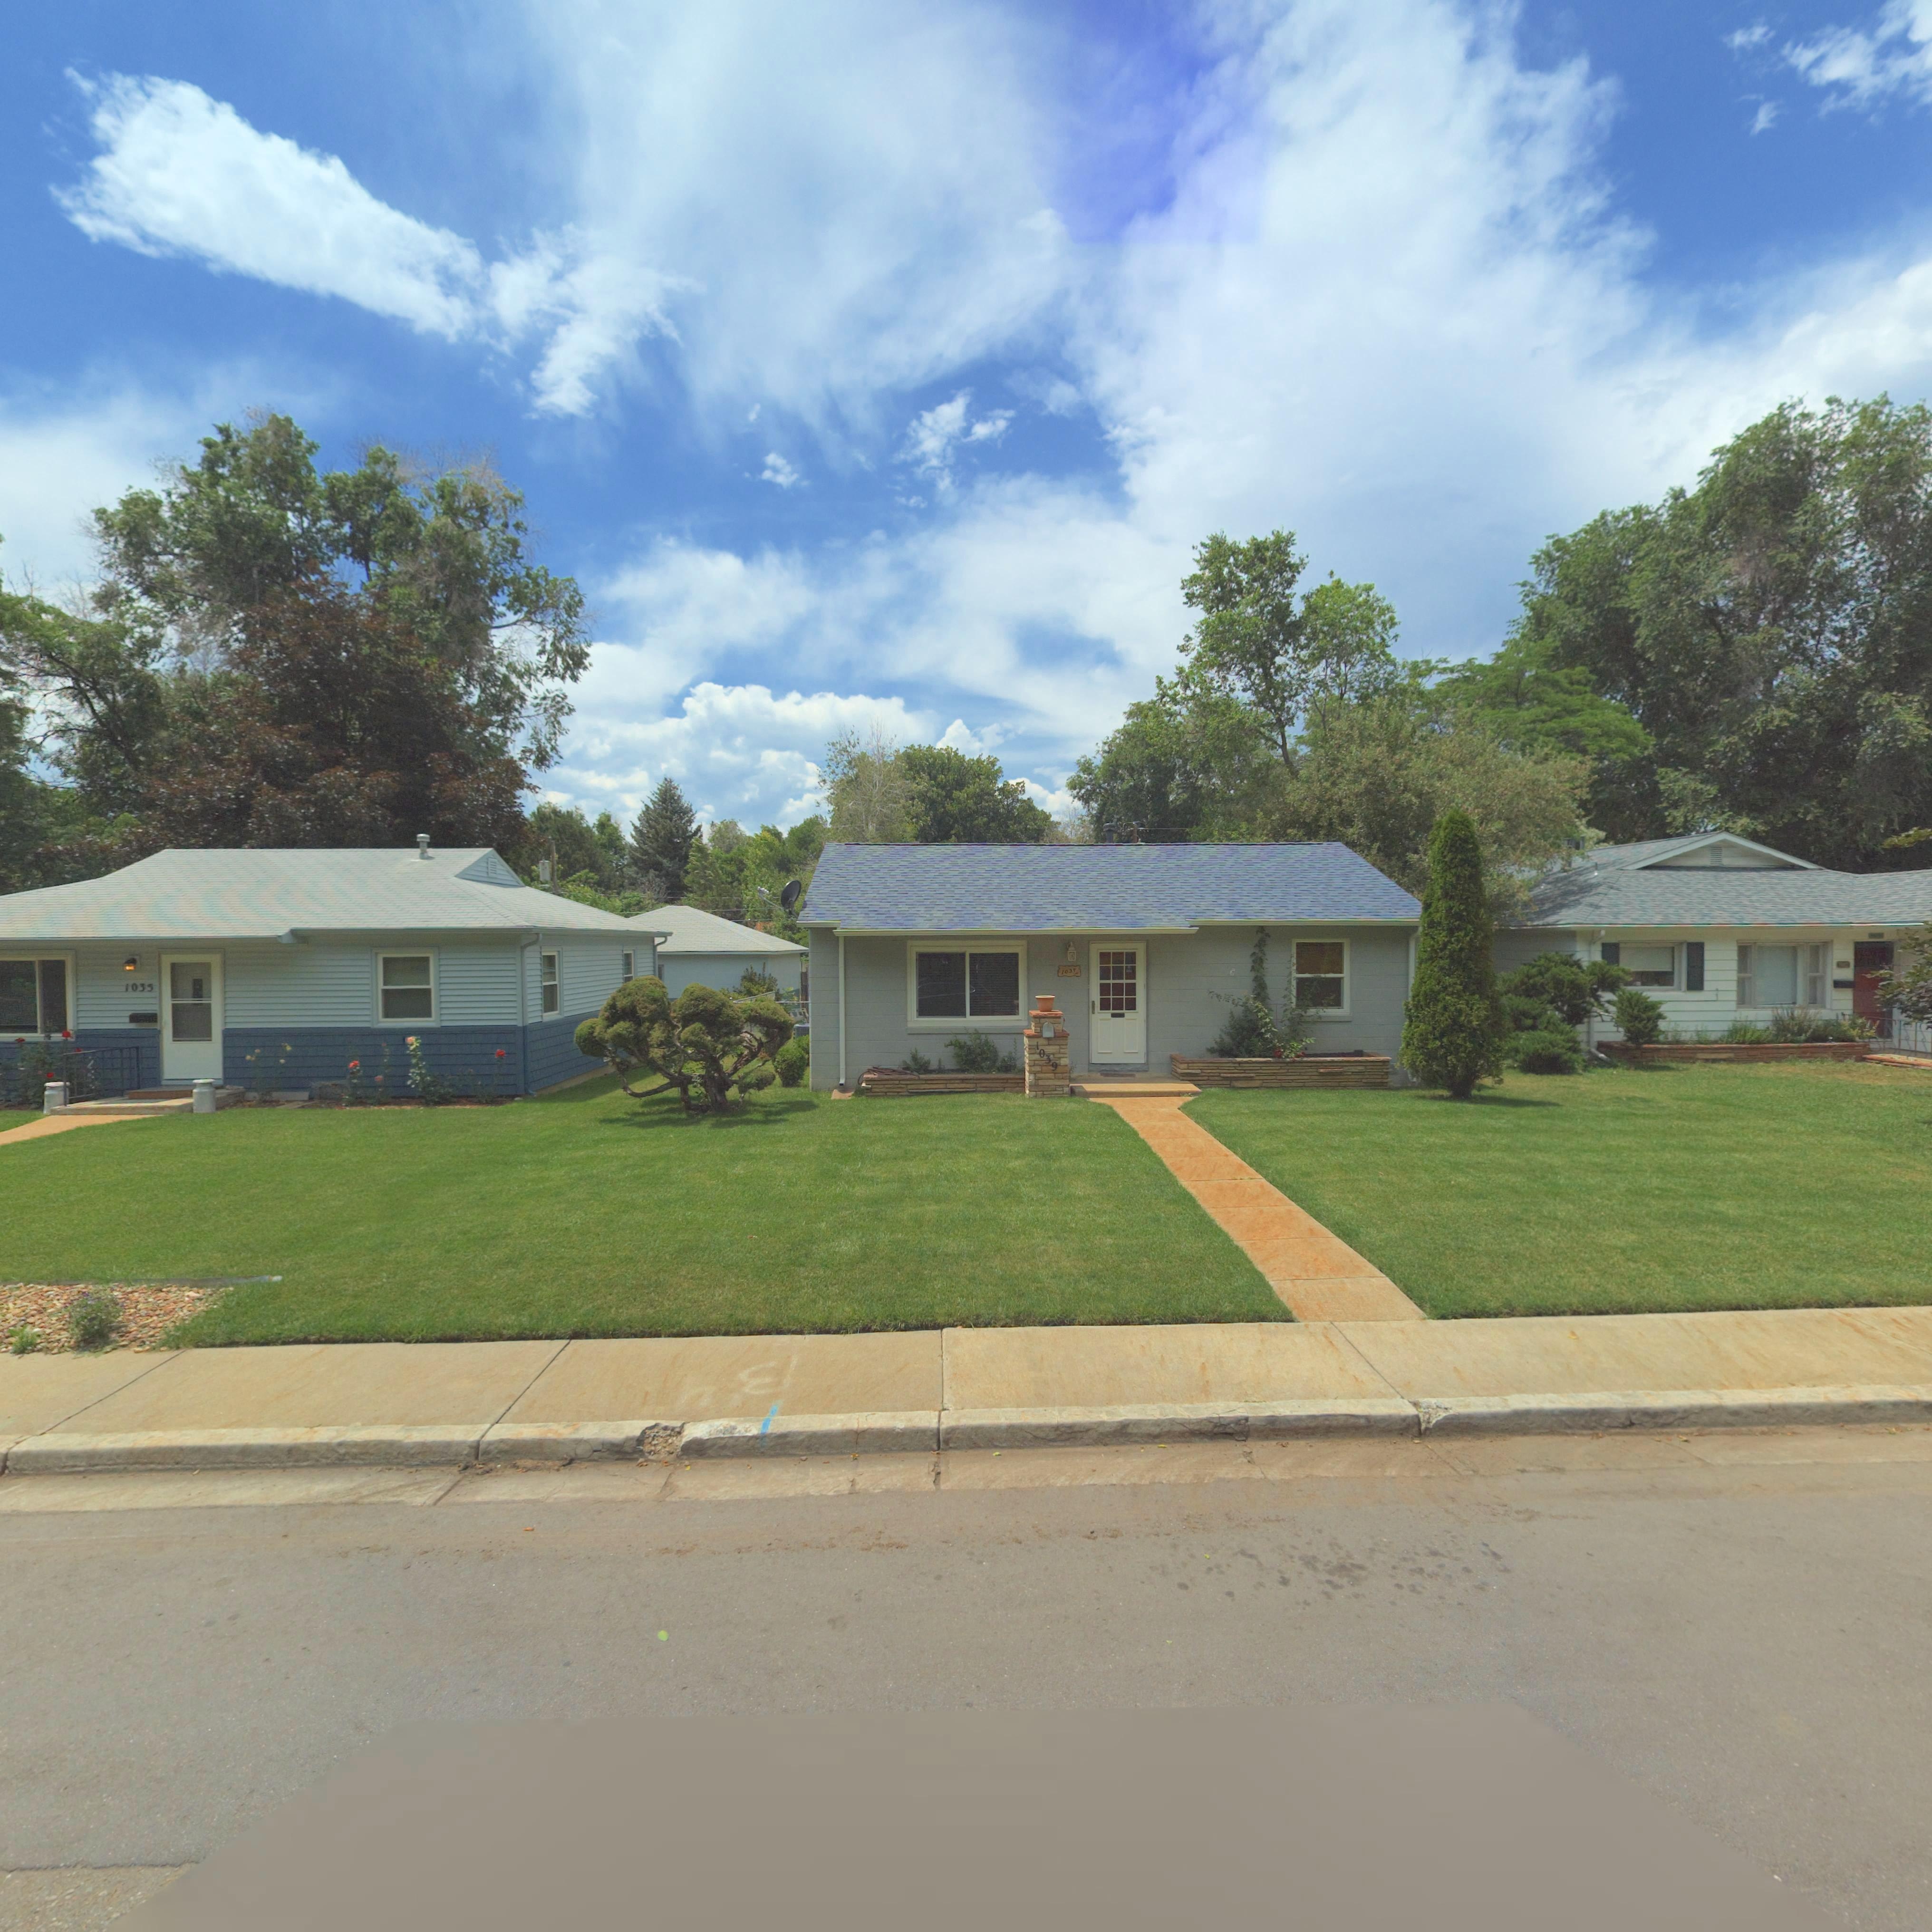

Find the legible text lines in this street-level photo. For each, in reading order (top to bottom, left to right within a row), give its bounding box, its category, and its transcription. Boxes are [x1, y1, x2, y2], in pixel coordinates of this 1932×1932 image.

[1062, 967, 1075, 975] StreetNumber: 10**
[125, 982, 154, 992] StreetNumber: 1035
[1035, 1041, 1058, 1071] StreetNumber: 1039